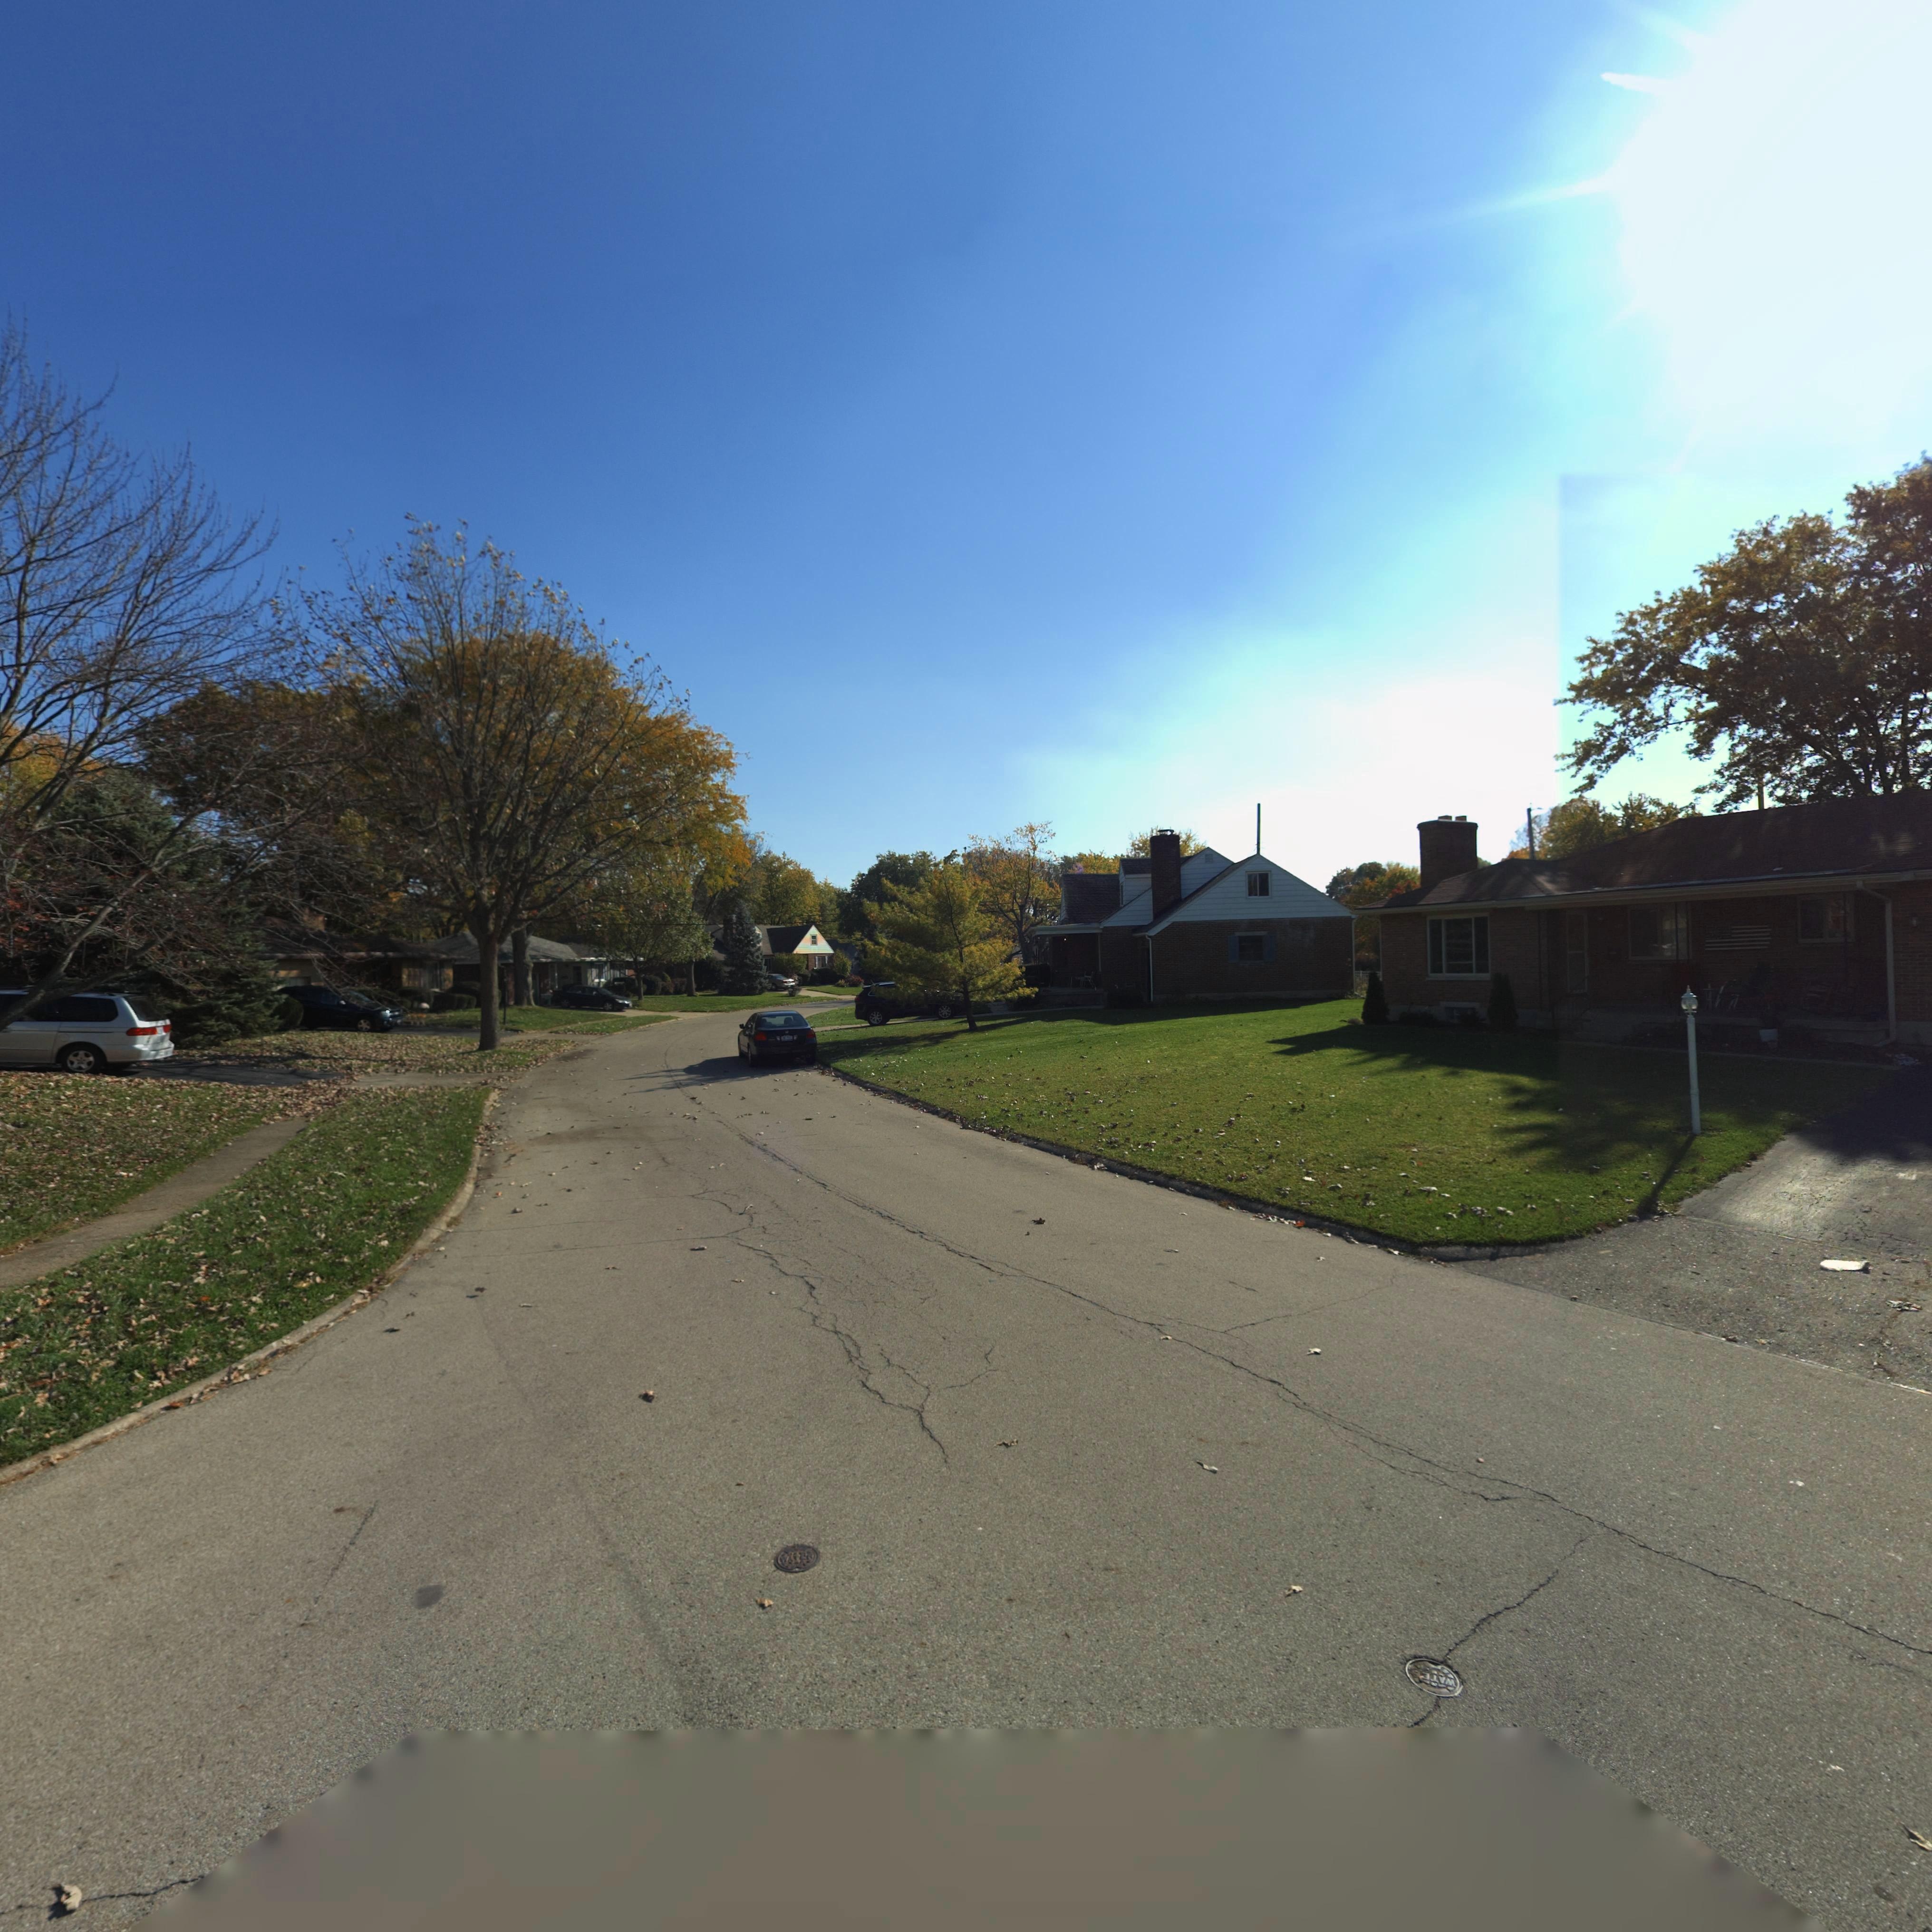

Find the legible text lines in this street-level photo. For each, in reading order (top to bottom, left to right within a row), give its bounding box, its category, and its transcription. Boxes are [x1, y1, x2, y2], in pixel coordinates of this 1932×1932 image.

[779, 1553, 814, 1563] None: WATER